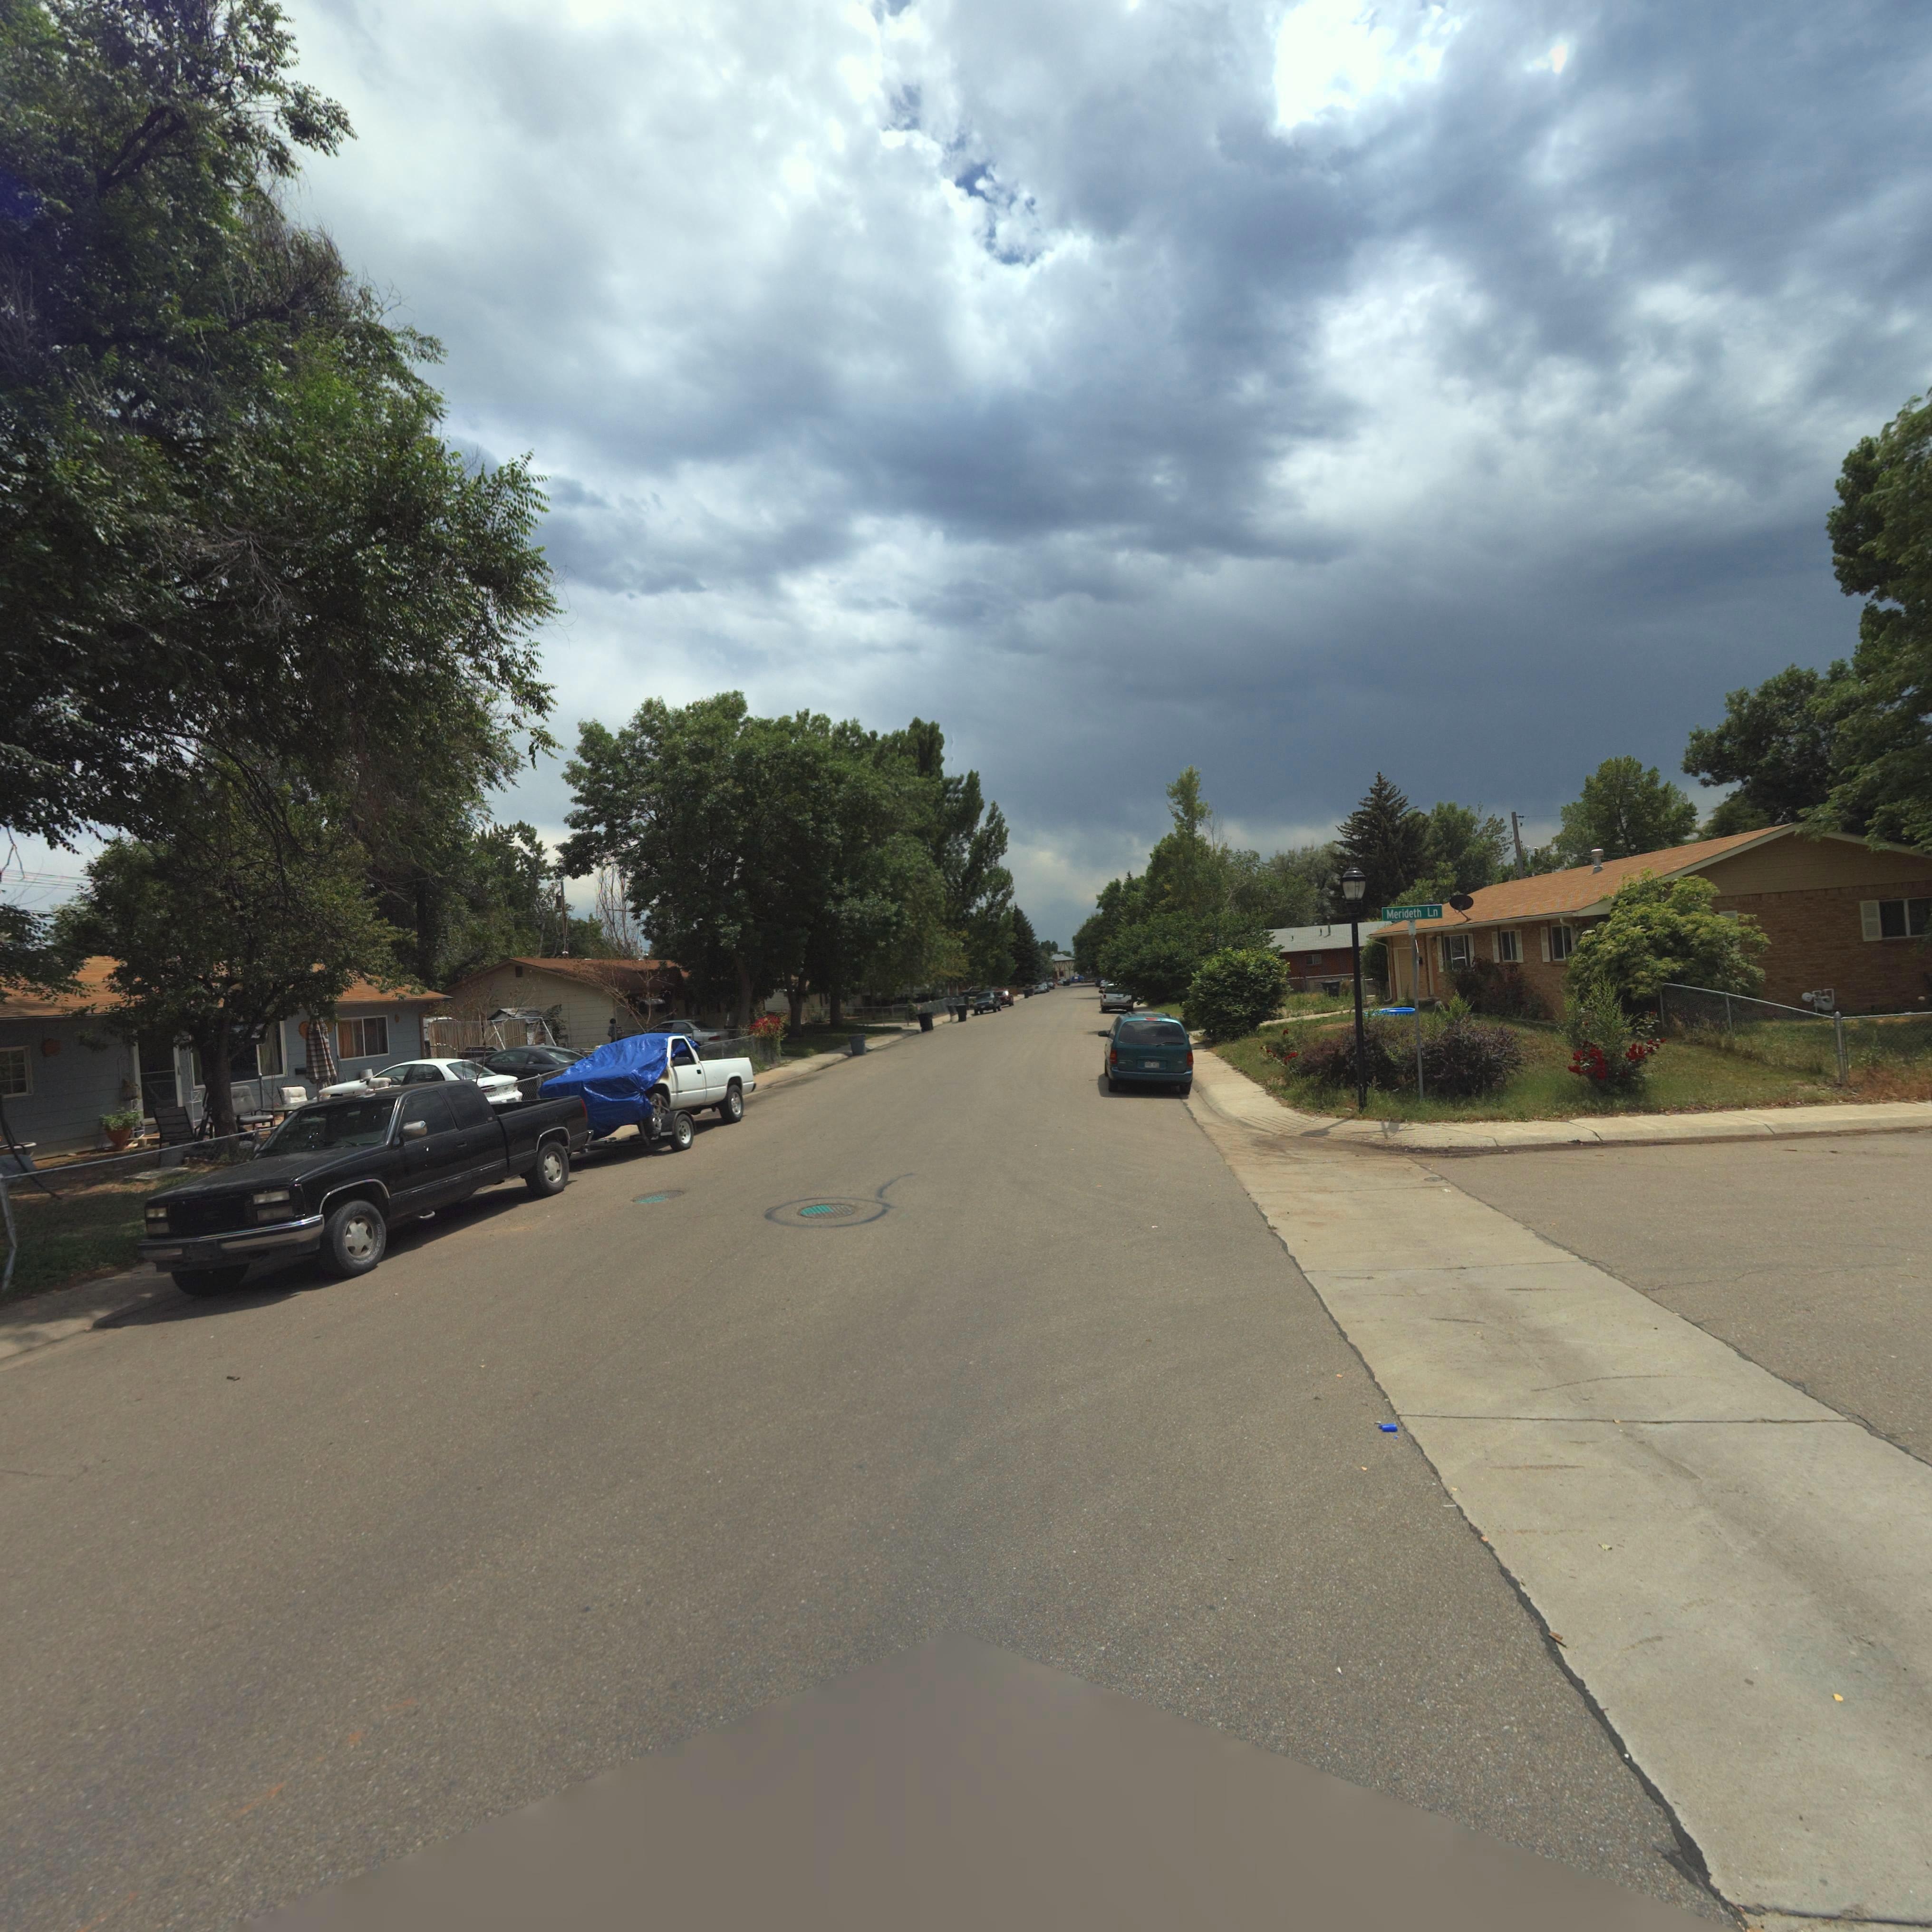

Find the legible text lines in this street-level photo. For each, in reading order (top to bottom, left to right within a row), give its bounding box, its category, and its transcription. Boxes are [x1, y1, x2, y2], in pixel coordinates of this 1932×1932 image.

[1385, 907, 1438, 919] StreetName: Merideth Ln